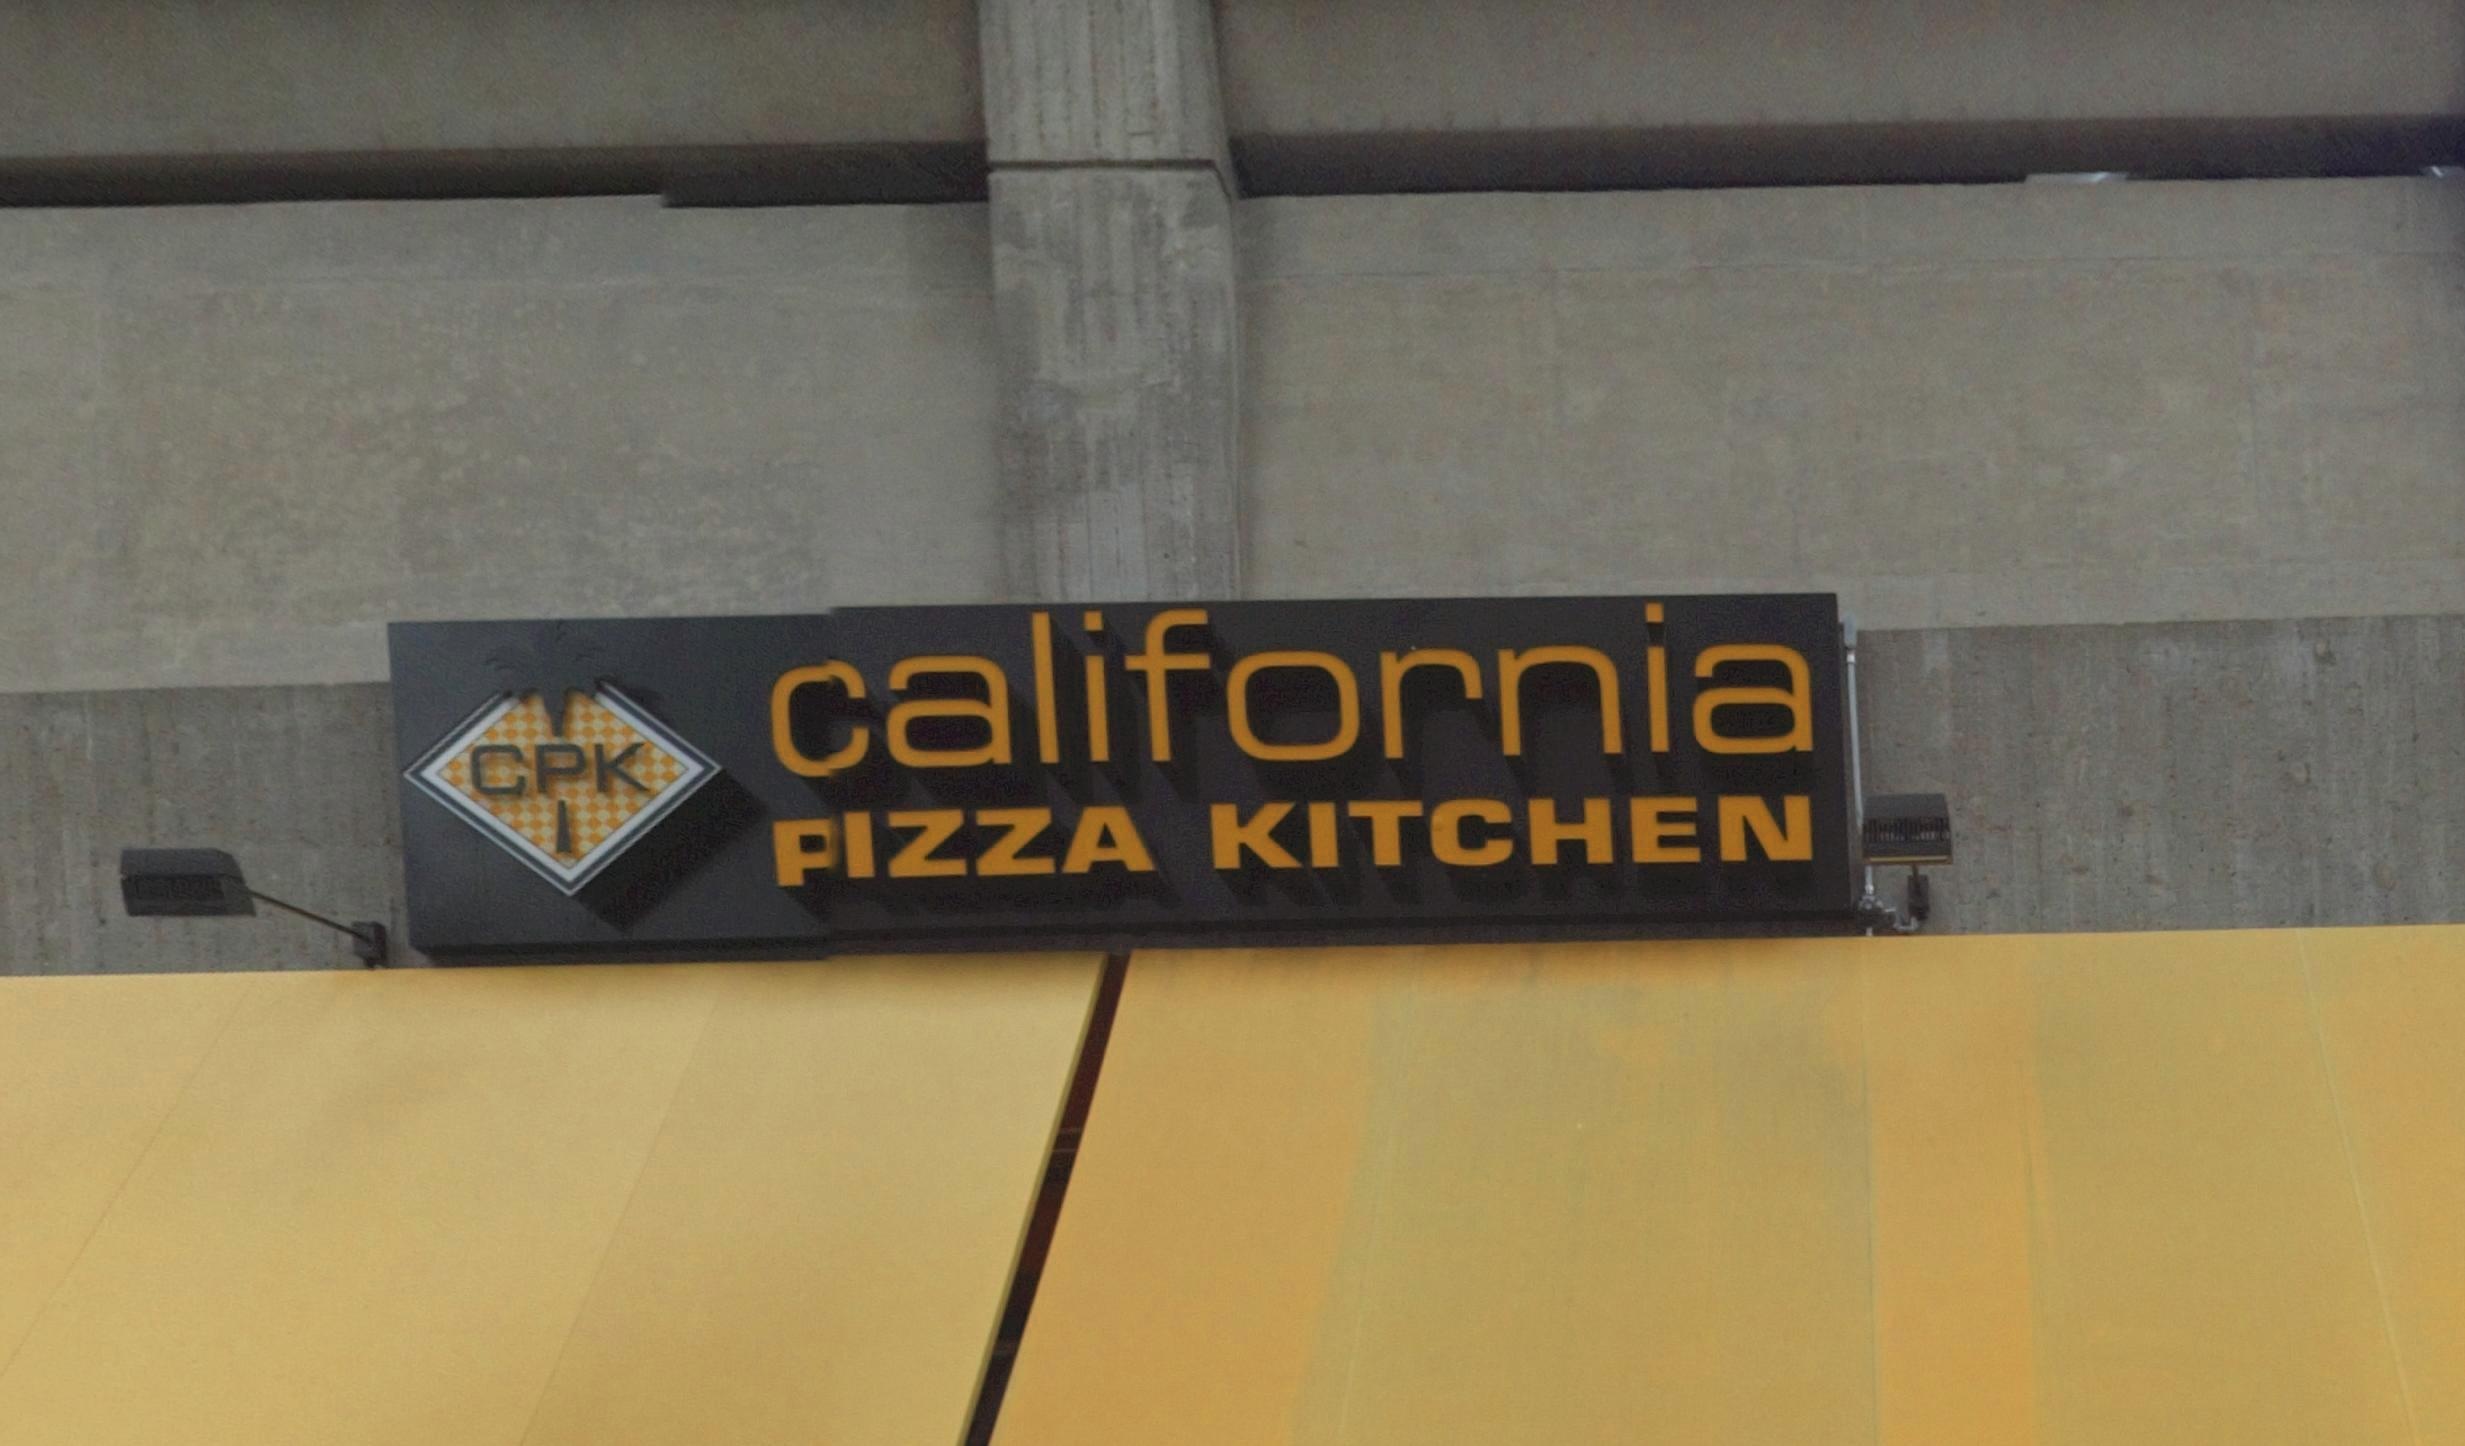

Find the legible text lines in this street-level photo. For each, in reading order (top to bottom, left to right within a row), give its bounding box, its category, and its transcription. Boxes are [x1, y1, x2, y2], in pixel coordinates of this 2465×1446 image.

[760, 595, 1823, 788] BusinessName: *alifornia
[463, 737, 657, 800] None: CPK
[759, 780, 1828, 905] BusinessName: *IZZA KITCHEN